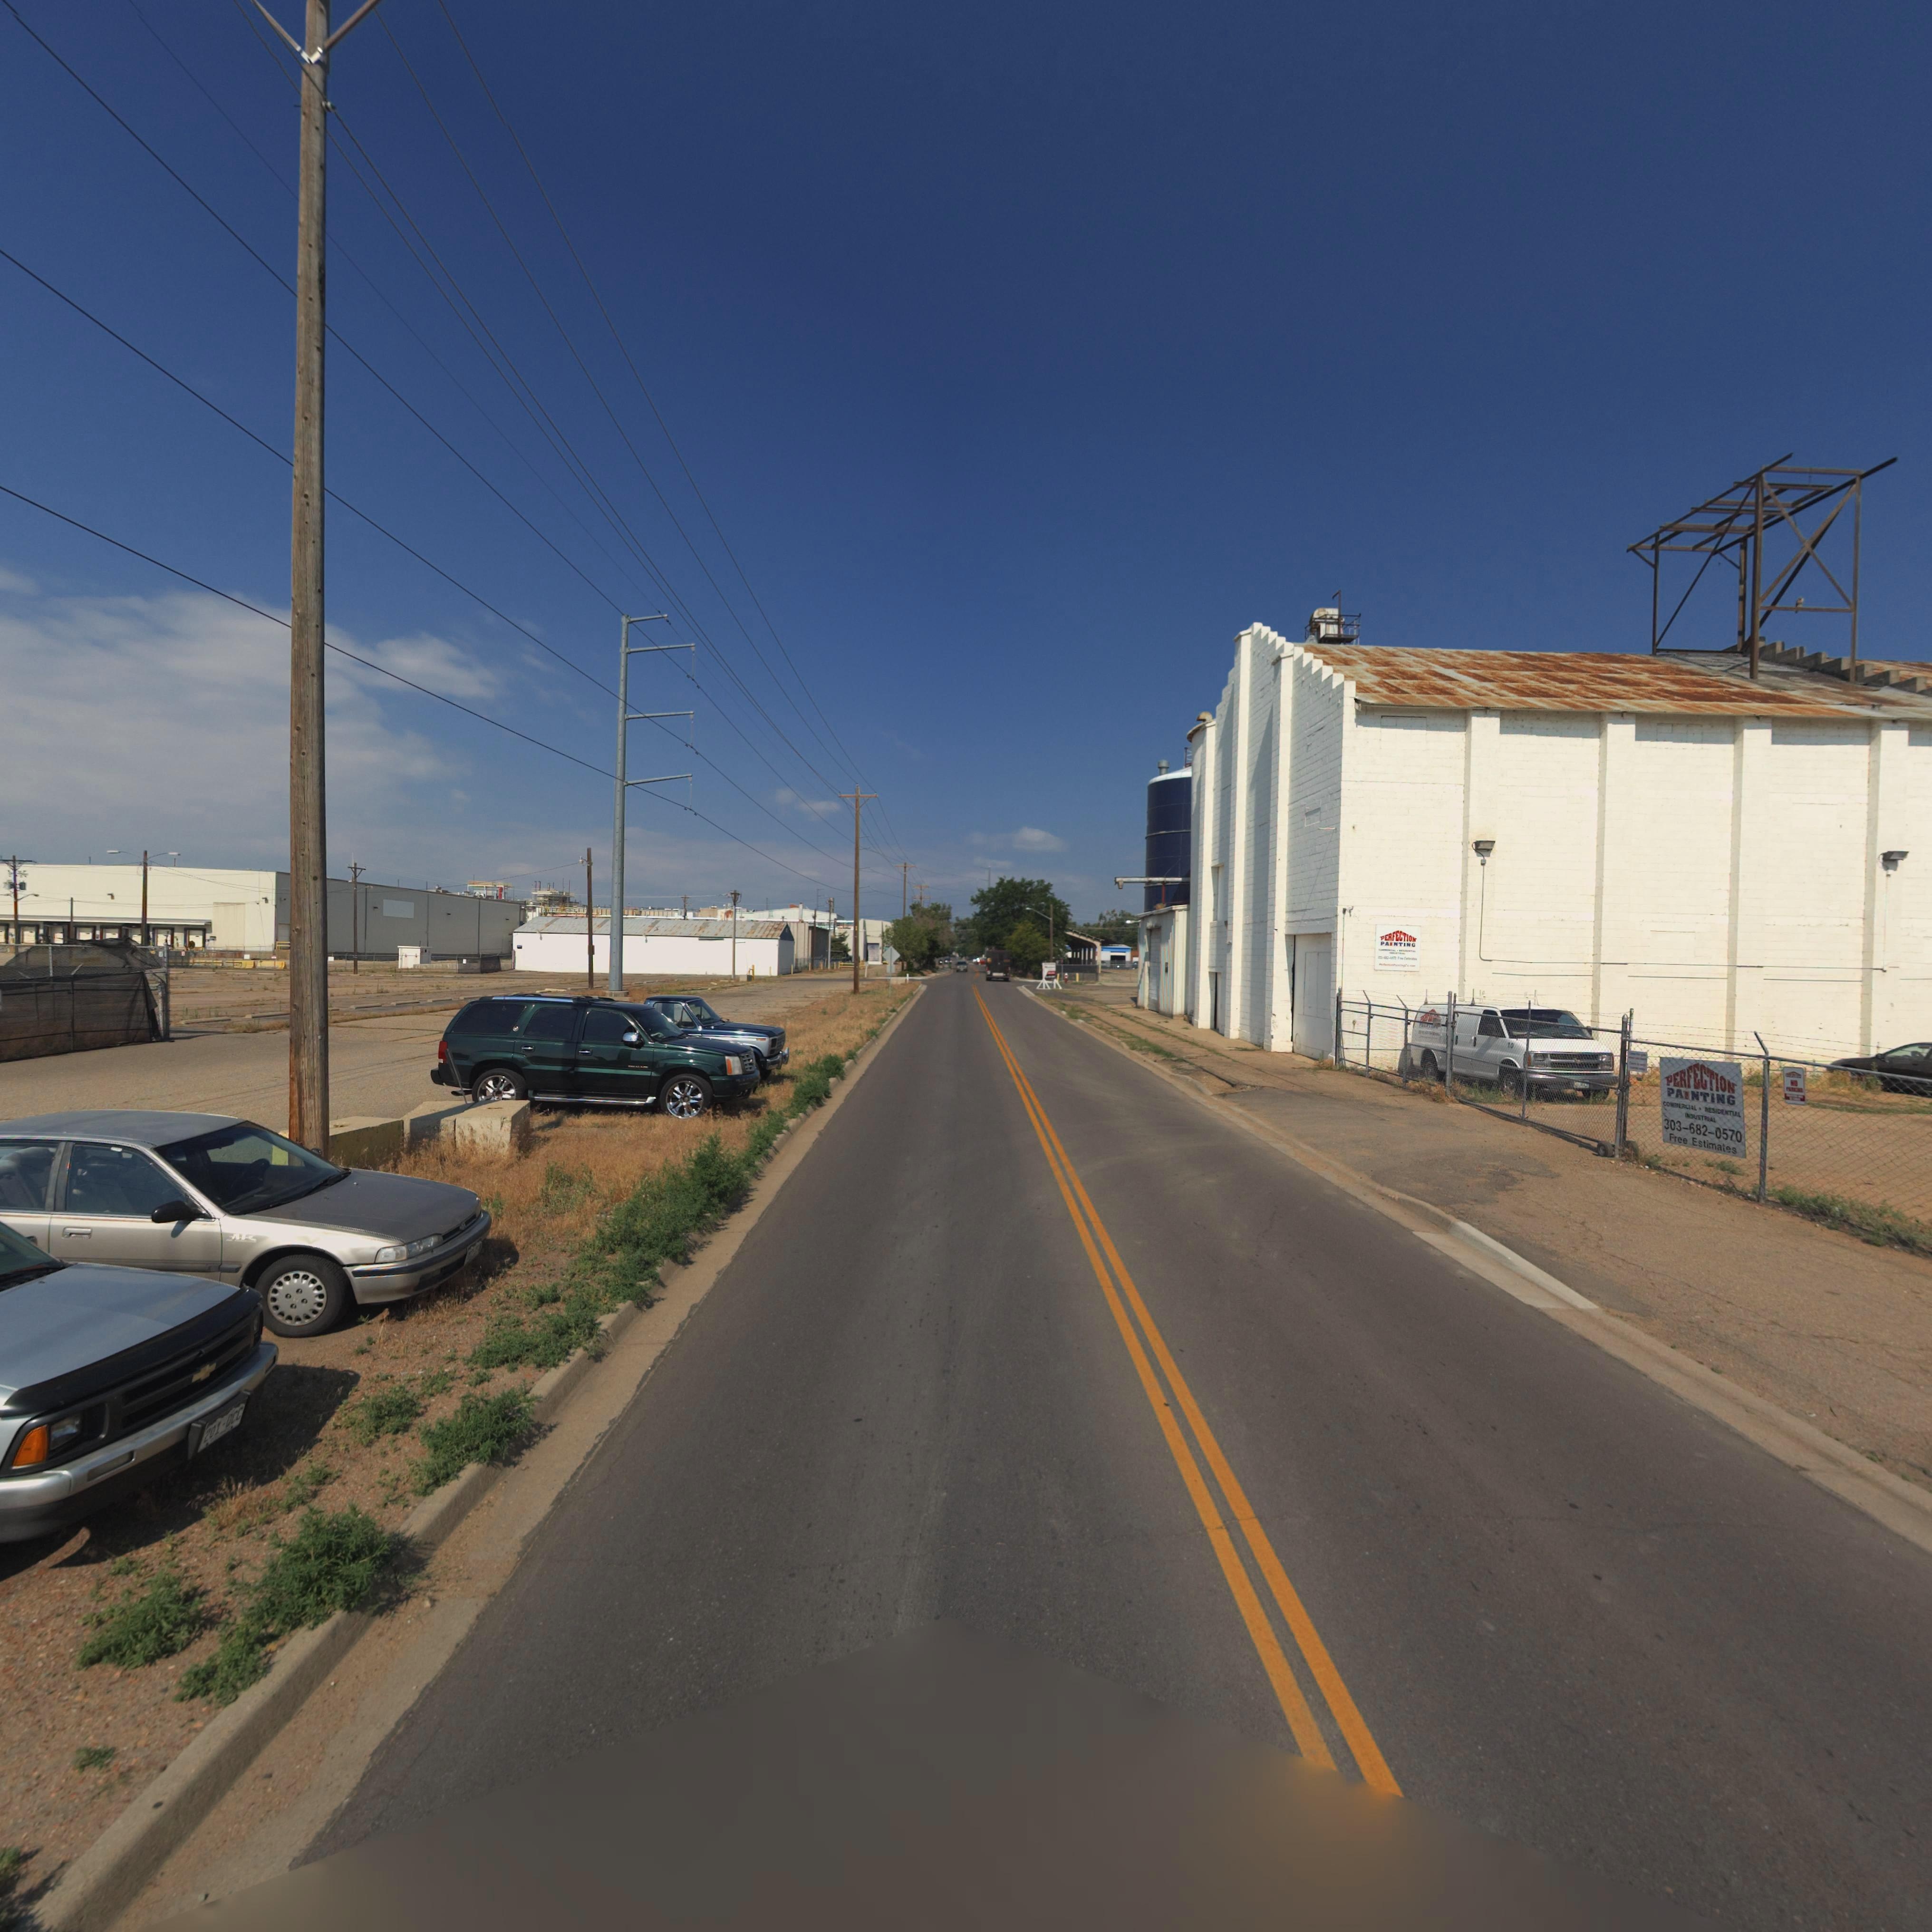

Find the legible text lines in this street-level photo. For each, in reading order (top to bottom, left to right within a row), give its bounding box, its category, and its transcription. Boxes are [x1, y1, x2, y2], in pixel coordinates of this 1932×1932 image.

[1380, 941, 1415, 947] BusinessName: PA*NTING
[1379, 929, 1417, 942] BusinessName: PERFECTION
[1664, 1061, 1738, 1094] BusinessName: PERFECTION
[1667, 1087, 1736, 1105] BusinessName: PA*NTING